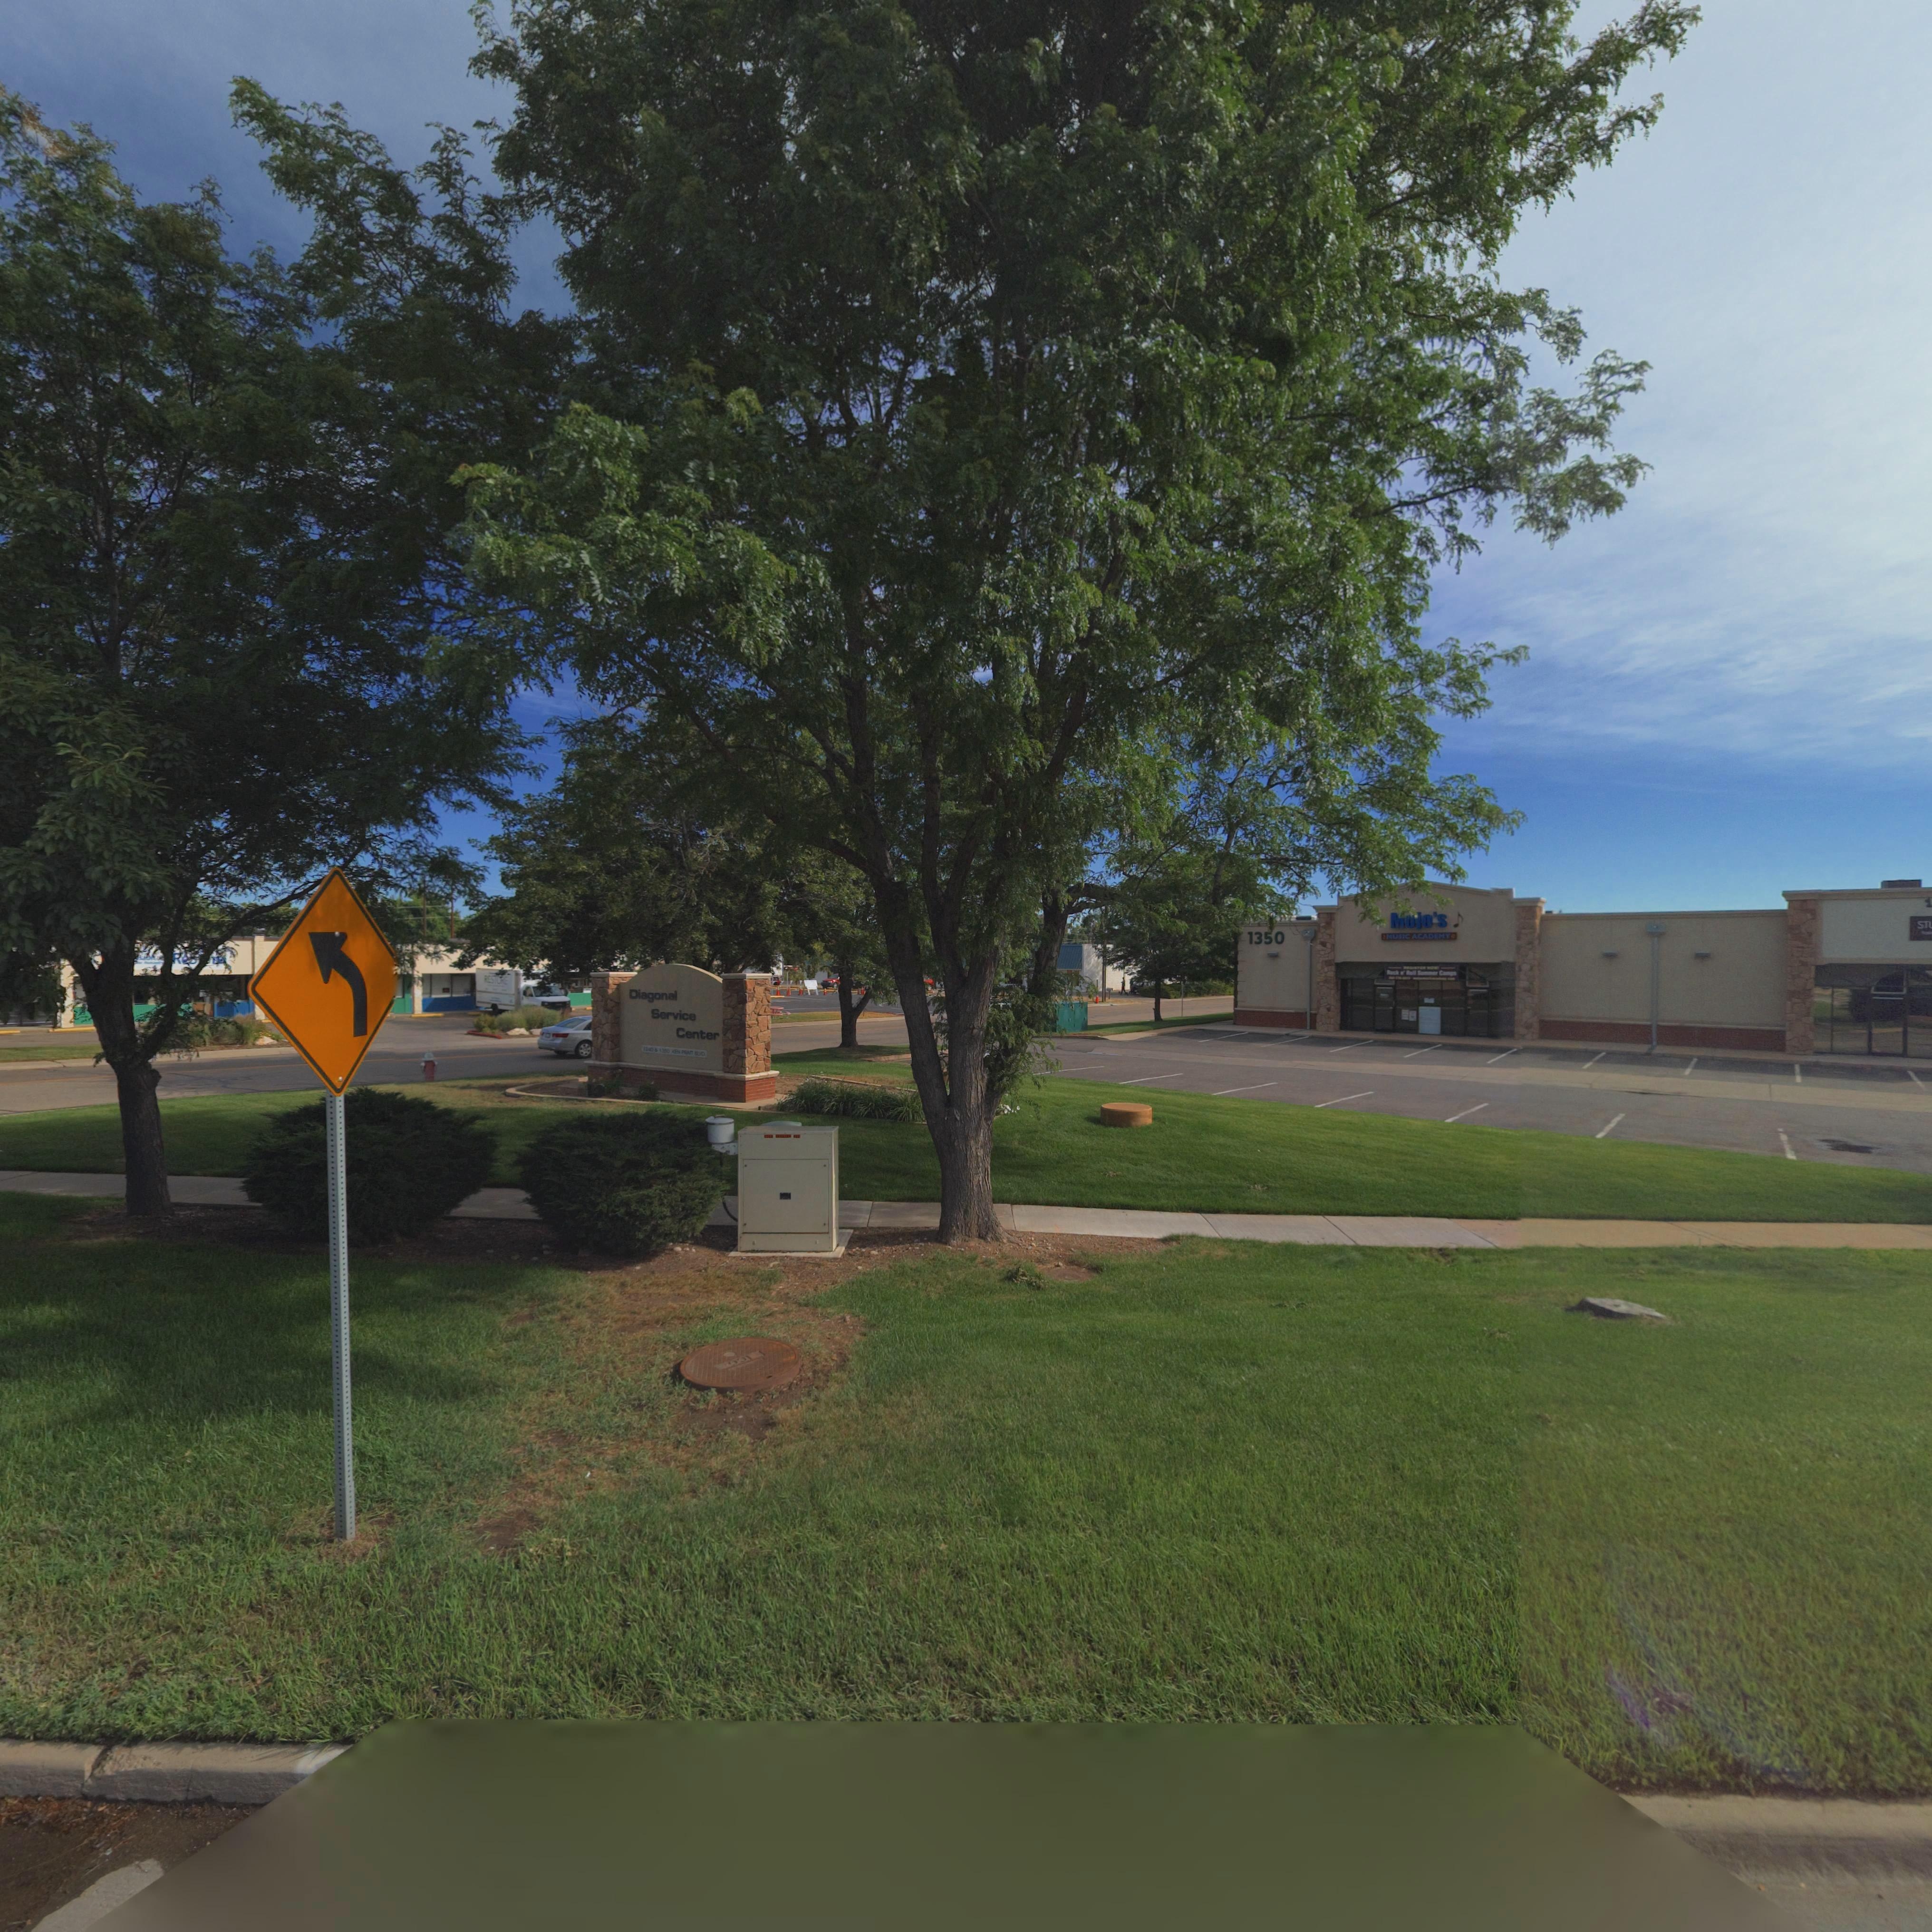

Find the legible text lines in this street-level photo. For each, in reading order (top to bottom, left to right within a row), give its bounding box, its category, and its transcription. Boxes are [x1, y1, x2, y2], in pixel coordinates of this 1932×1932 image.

[1390, 910, 1448, 930] BusinessName: Mojo's
[1916, 920, 1929, 929] BusinessName: ST
[1247, 931, 1285, 945] StreetNumber: 1350
[1386, 933, 1451, 939] BusinessName: MUSIC ACADEMY
[172, 952, 197, 965] BusinessName: Res
[643, 1046, 654, 1052] StreetNumber: 1240
[659, 1047, 671, 1053] StreetNumber: 13**
[671, 1048, 705, 1057] StreetName: KEN PRAT BLVD